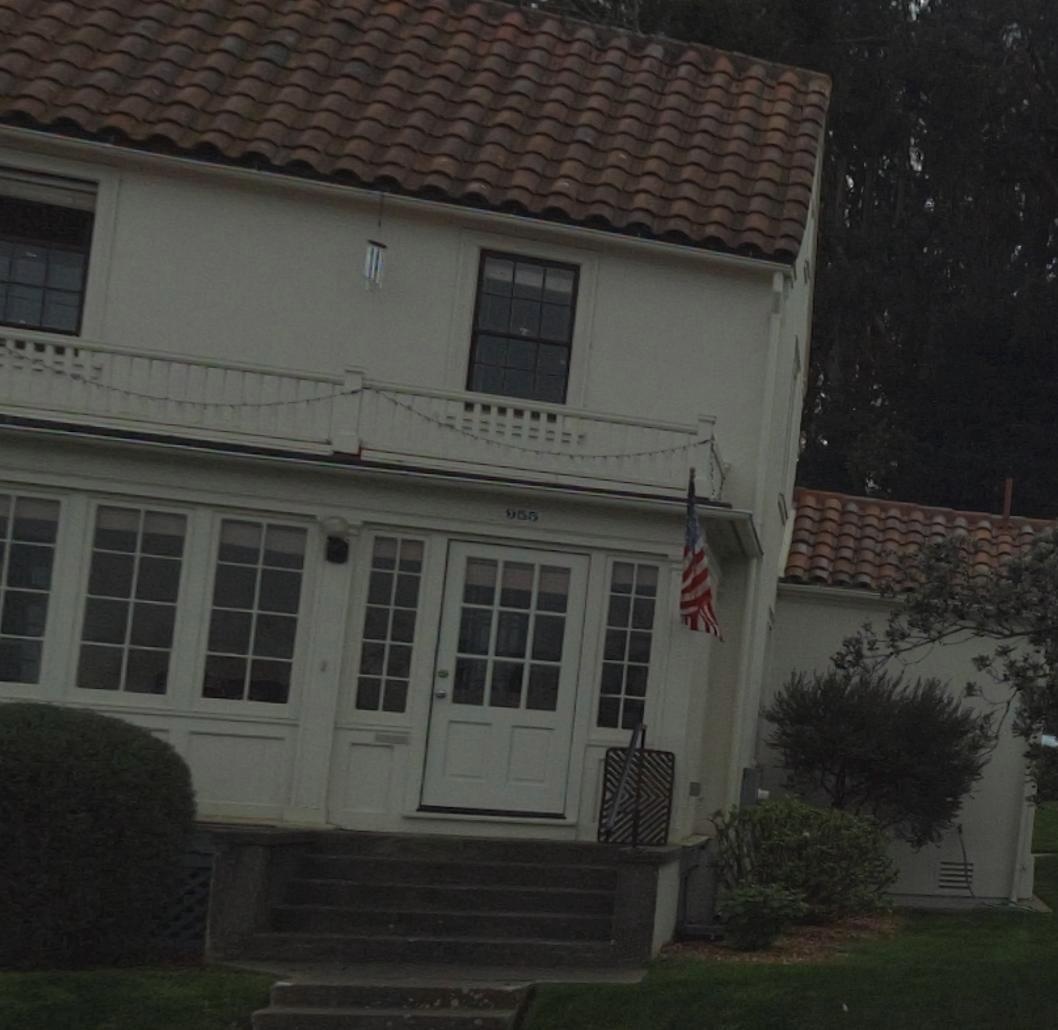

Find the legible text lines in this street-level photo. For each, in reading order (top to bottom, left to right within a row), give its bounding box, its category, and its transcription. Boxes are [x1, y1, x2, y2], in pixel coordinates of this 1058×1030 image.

[504, 506, 540, 523] StreetNumber: 955